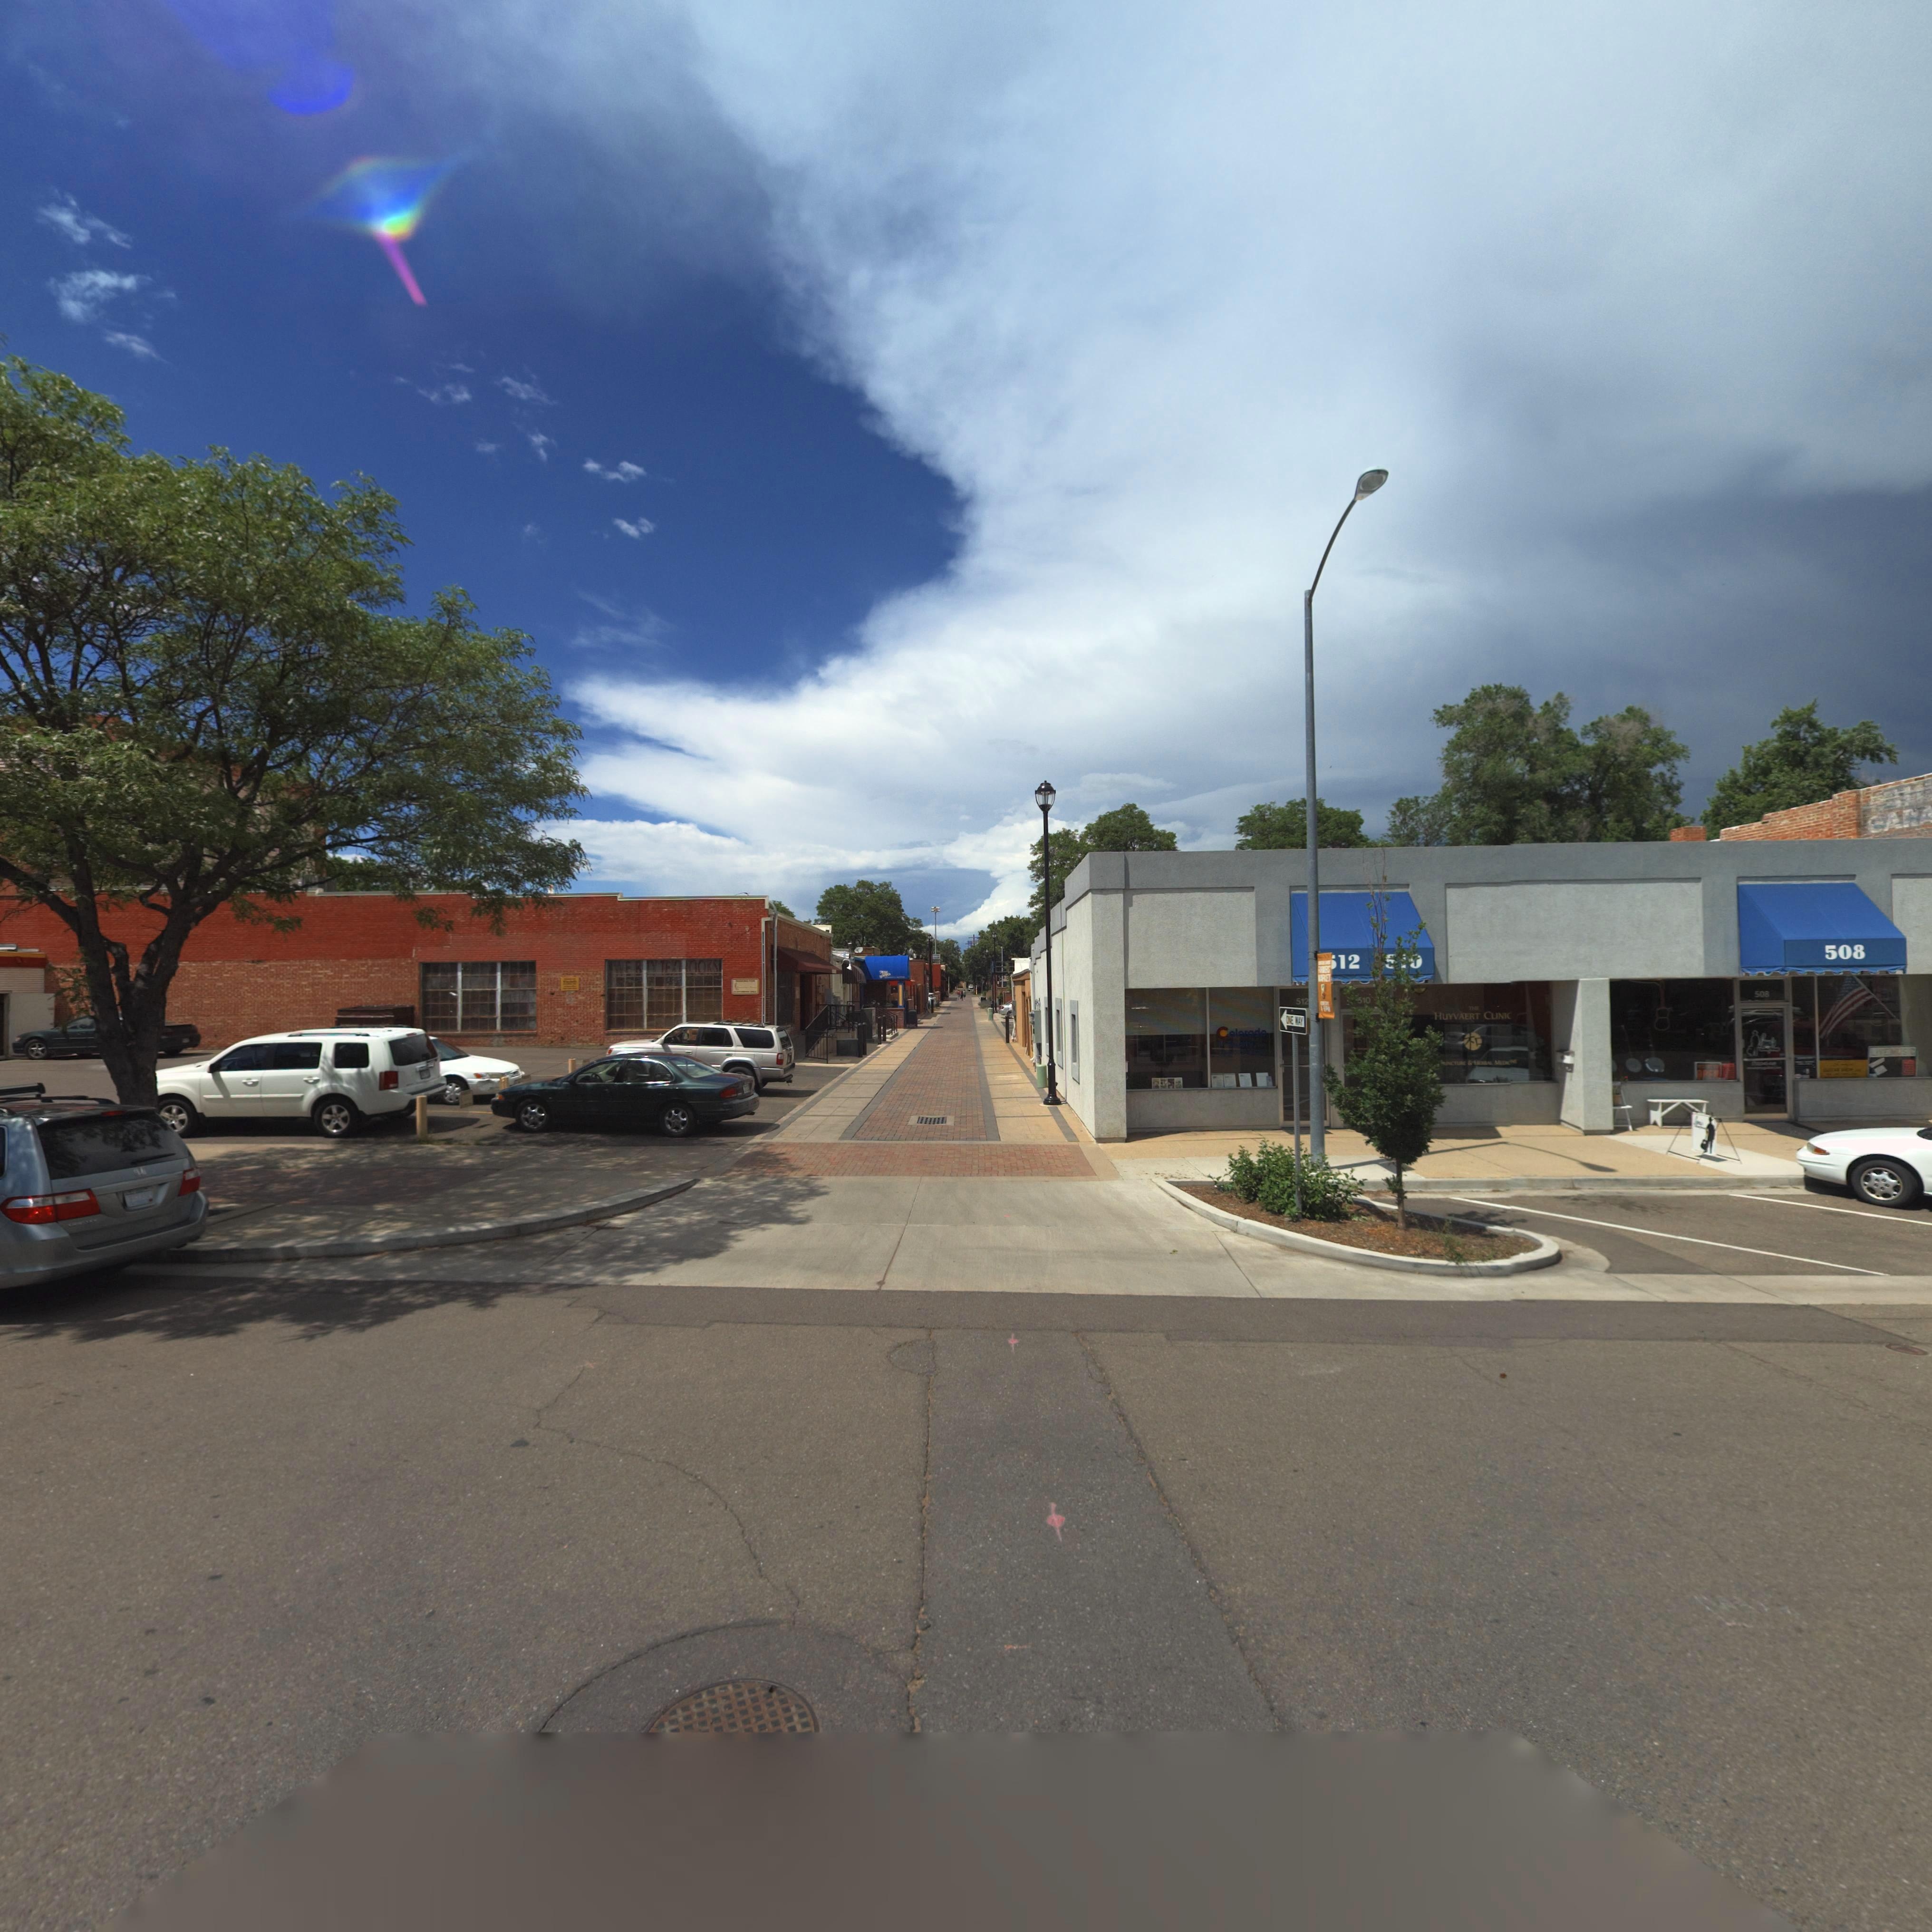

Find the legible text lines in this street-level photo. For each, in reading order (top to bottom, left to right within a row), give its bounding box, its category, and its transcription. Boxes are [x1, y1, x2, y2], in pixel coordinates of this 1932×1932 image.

[1824, 944, 1866, 960] StreetNumber: 508
[1337, 954, 1360, 969] StreetNumber: 12
[1754, 990, 1770, 997] StreetNumber: 508
[1296, 997, 1309, 1005] StreetNumber: 512
[1362, 997, 1371, 1004] StreetNumber: 10
[1468, 1005, 1479, 1010] BusinessName: THE
[1434, 1010, 1512, 1020] BusinessName: HUYVAERT CLINIC
[1215, 1025, 1267, 1041] BusinessName: Colorado
[1757, 1032, 1776, 1054] BusinessName: Larry's